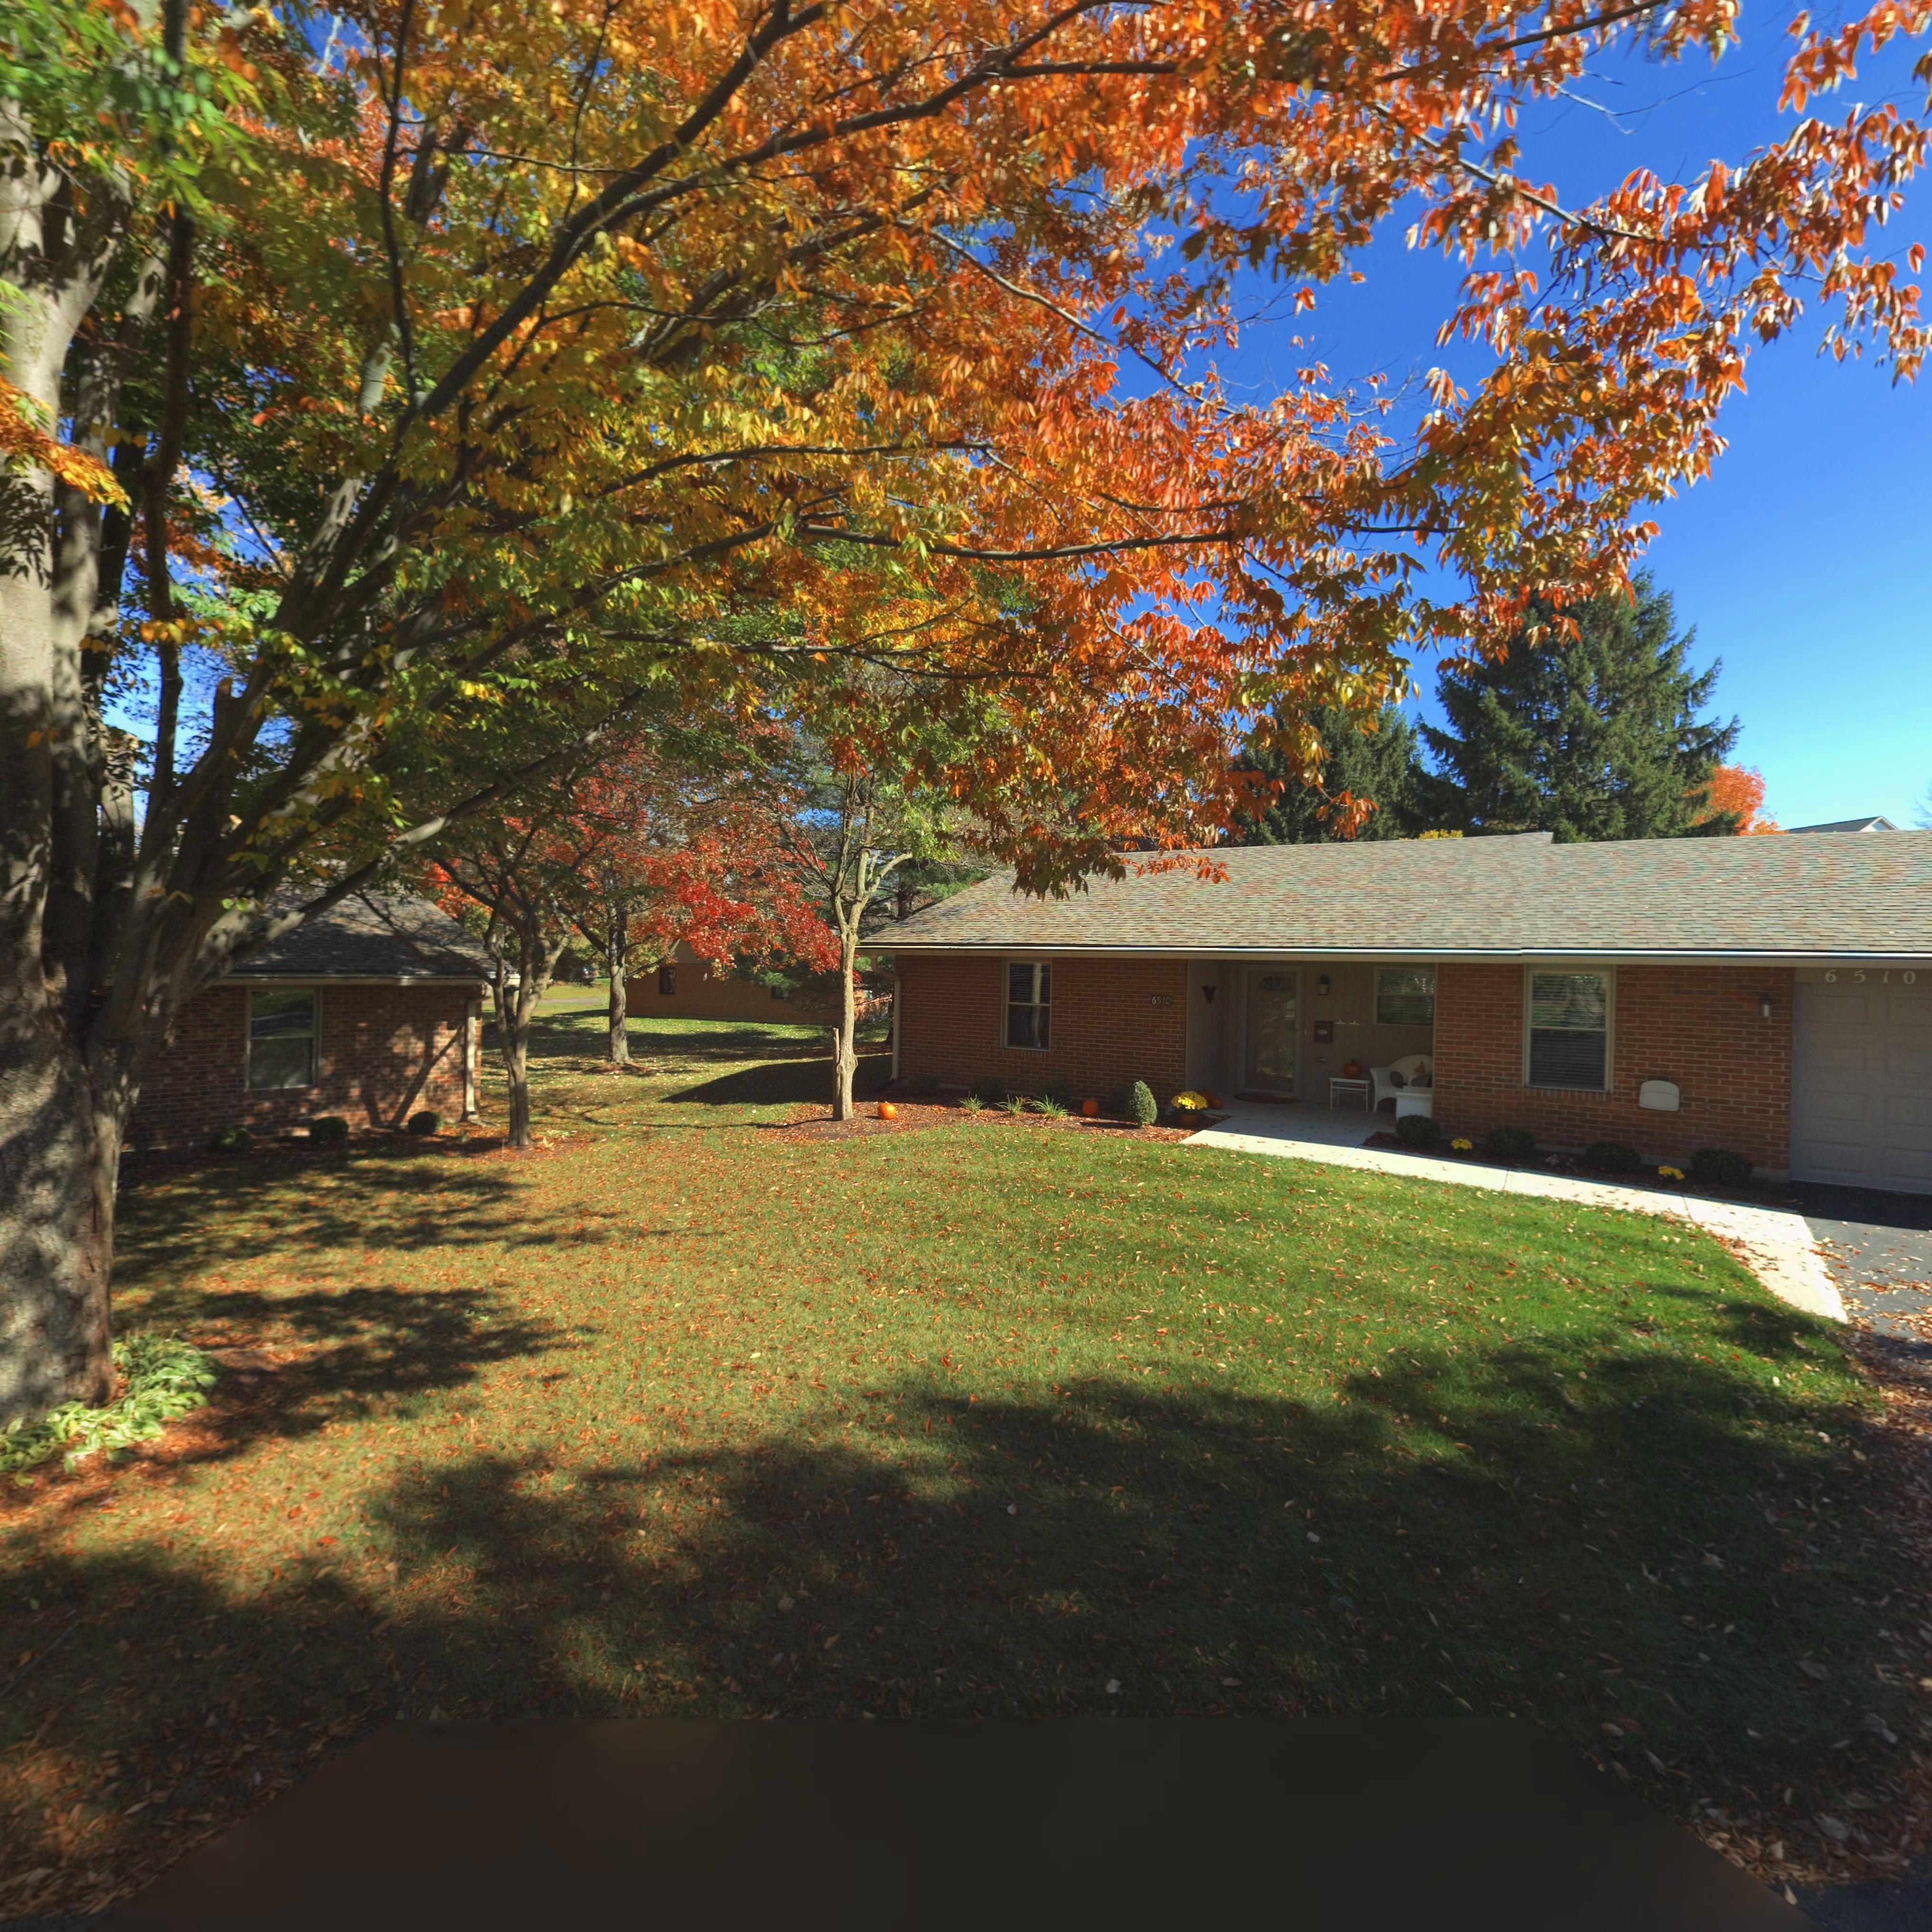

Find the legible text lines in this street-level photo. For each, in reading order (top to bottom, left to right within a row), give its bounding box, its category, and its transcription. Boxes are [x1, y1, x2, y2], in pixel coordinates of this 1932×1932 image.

[1823, 967, 1918, 985] StreetNumber: 6510
[1151, 995, 1171, 1005] StreetNumber: 65**